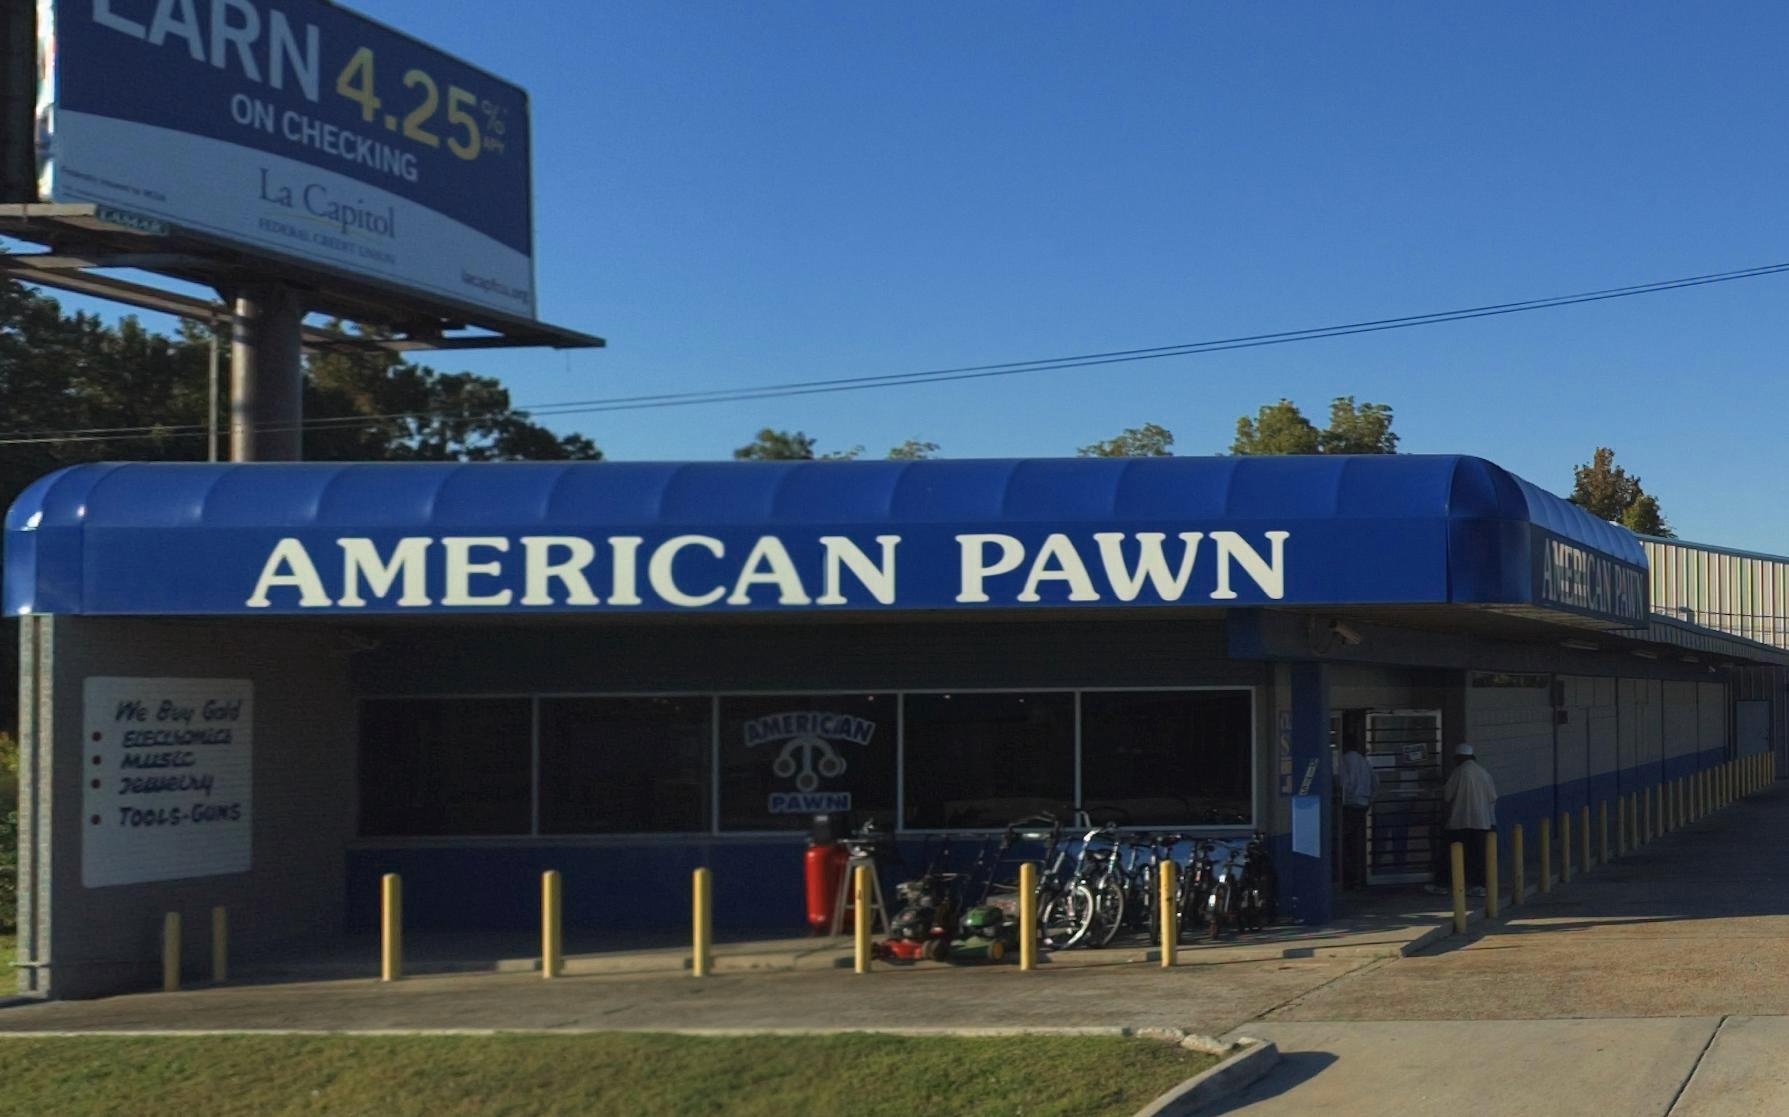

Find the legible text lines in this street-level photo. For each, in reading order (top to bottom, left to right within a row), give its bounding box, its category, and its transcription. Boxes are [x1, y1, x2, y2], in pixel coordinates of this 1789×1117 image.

[208, 0, 512, 177] None: RN 4.25% AP*
[229, 87, 420, 186] None: ON CHECKING
[256, 163, 398, 243] None: La Capitol
[98, 206, 163, 237] None: LAMAR
[251, 212, 403, 271] None: FEDERAL CREDIT UNION
[238, 529, 1293, 611] BusinessName: AMERICAN PAWN
[1539, 535, 1645, 624] BusinessName: AMERICAN PAWN
[118, 748, 198, 771] None: Music
[118, 772, 217, 800] None: Jewelry
[117, 726, 234, 749] None: ElEctronics
[110, 697, 245, 723] None: We Buy Gold
[116, 799, 242, 830] None: TOOLS - GUNS
[743, 710, 878, 745] BusinessName: AMERICAN
[767, 790, 854, 815] BusinessName: PAWN
[1279, 733, 1292, 757] None: s
[1296, 757, 1319, 796] StreetNumber: 3173